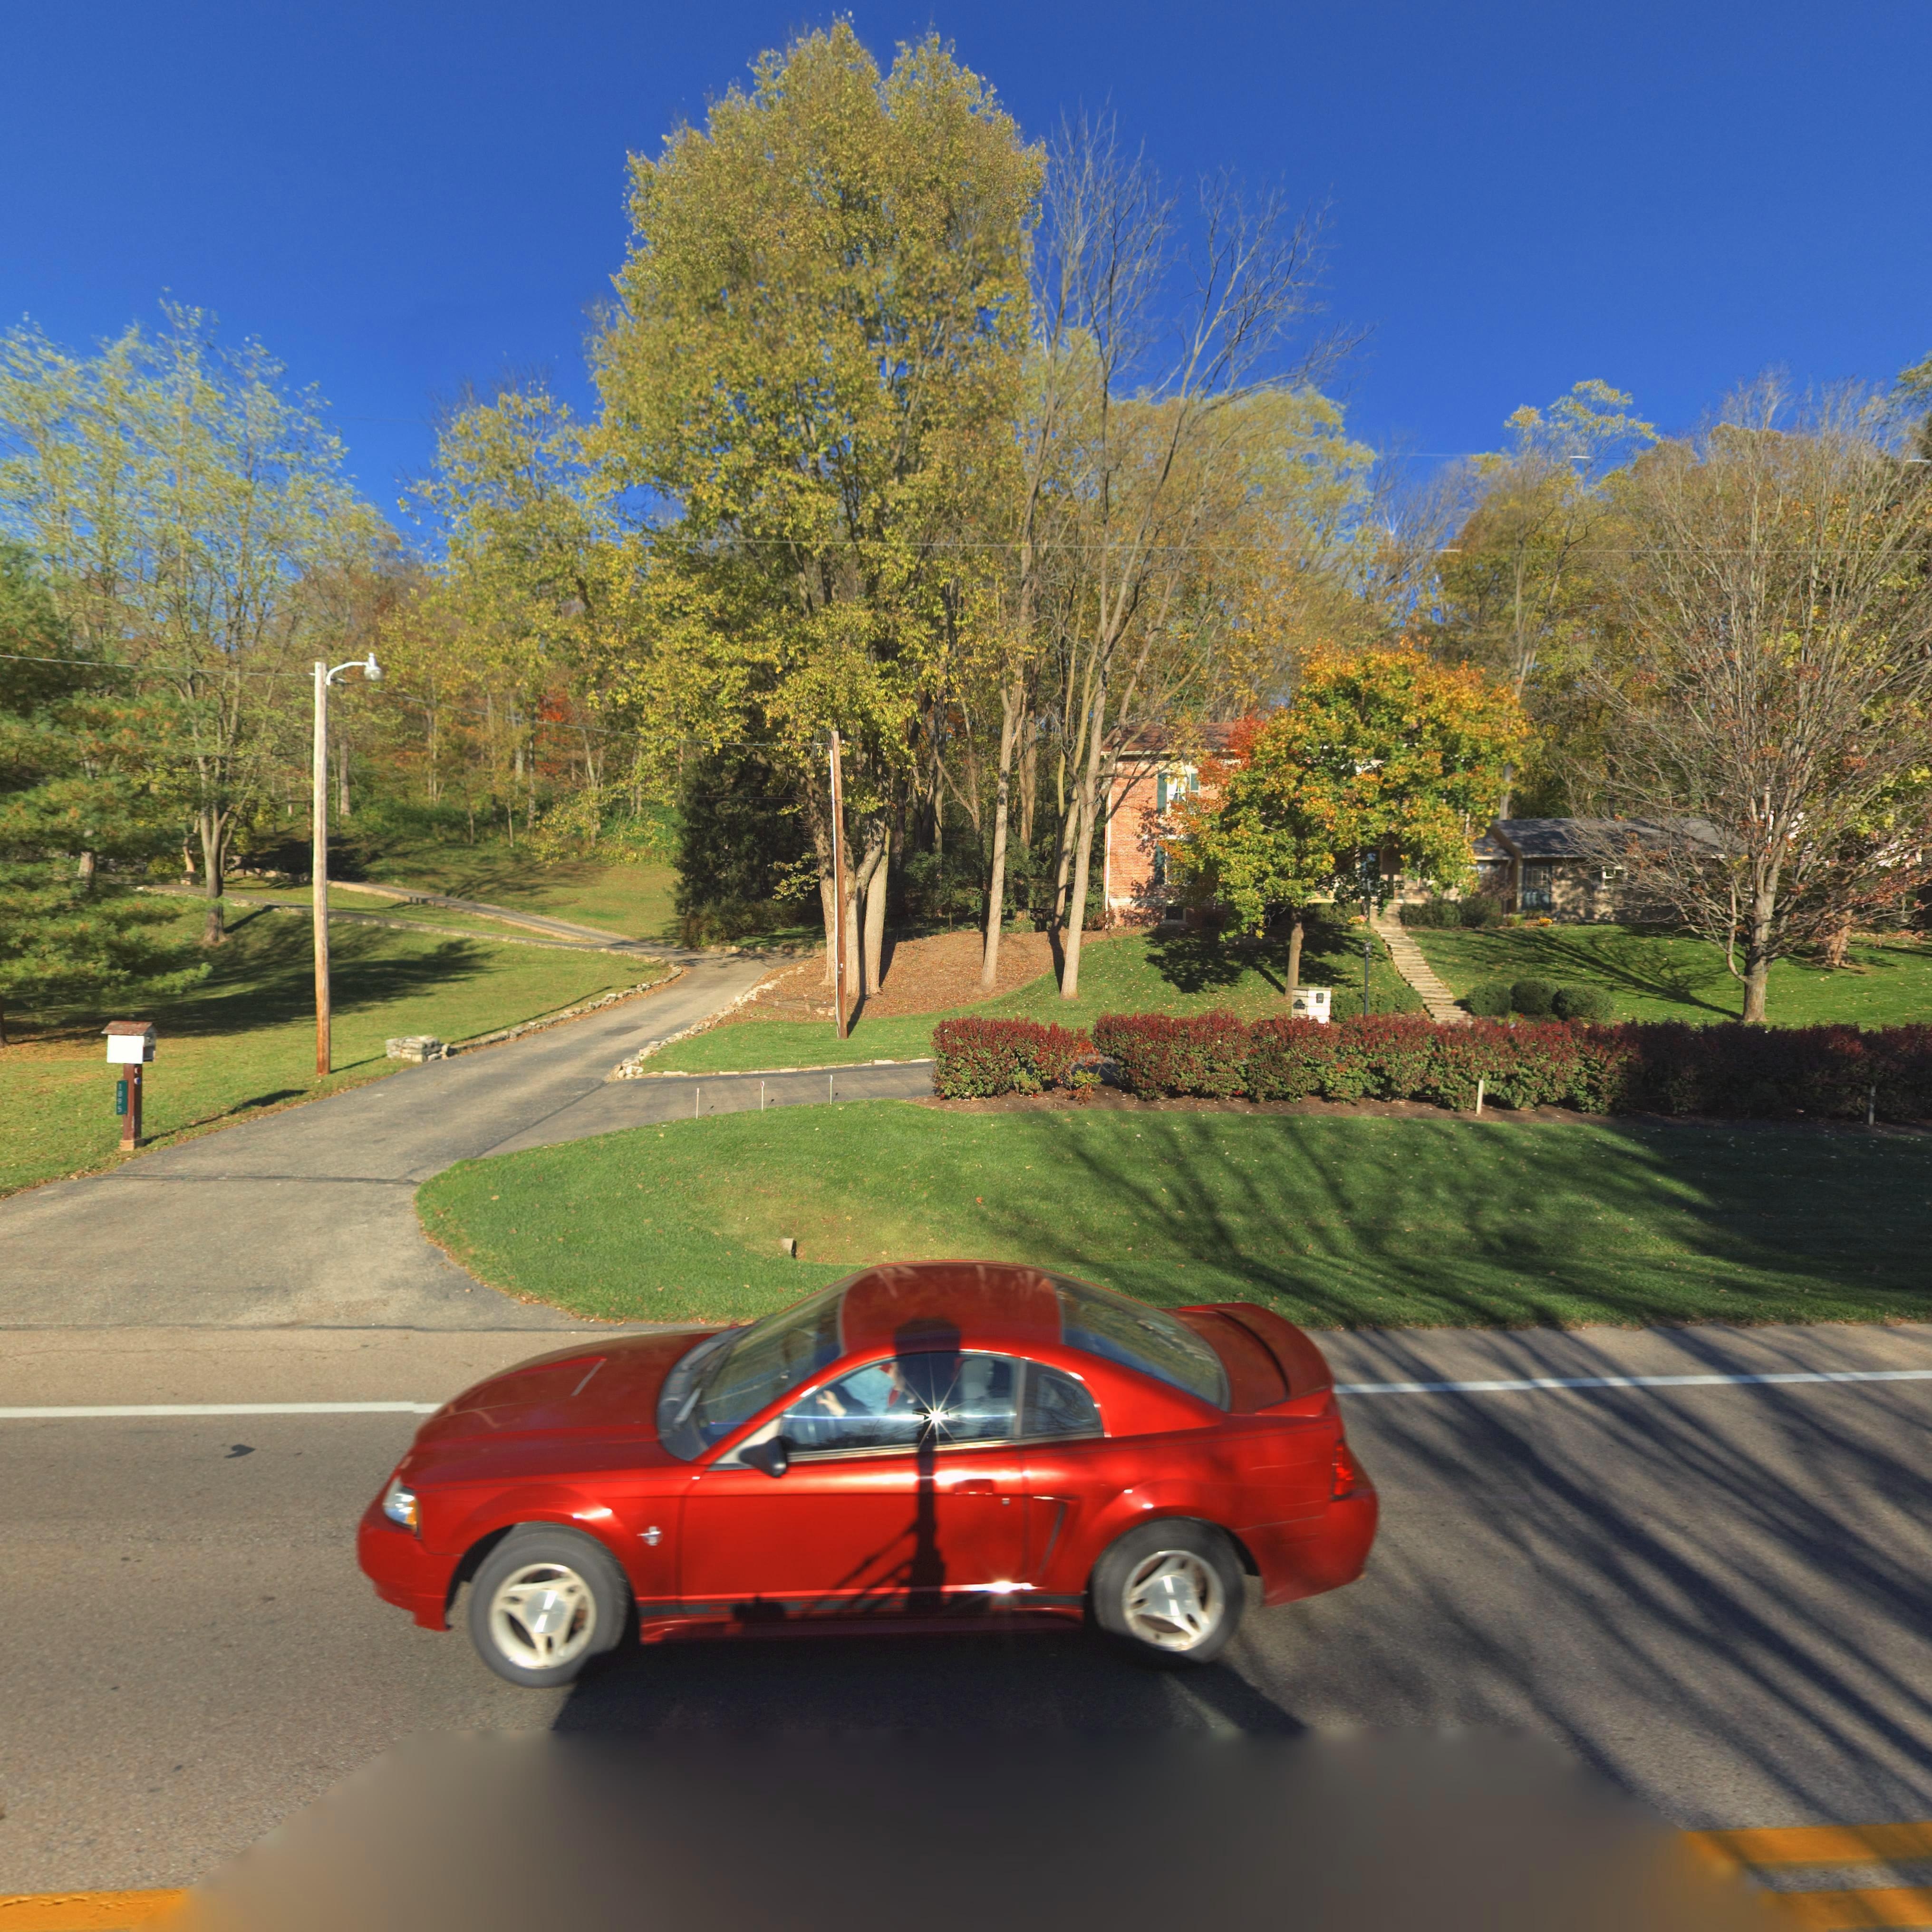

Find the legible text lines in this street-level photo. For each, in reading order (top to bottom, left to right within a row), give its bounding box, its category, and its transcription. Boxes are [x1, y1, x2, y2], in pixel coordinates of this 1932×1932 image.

[116, 1082, 123, 1113] StreetNumber: 1895